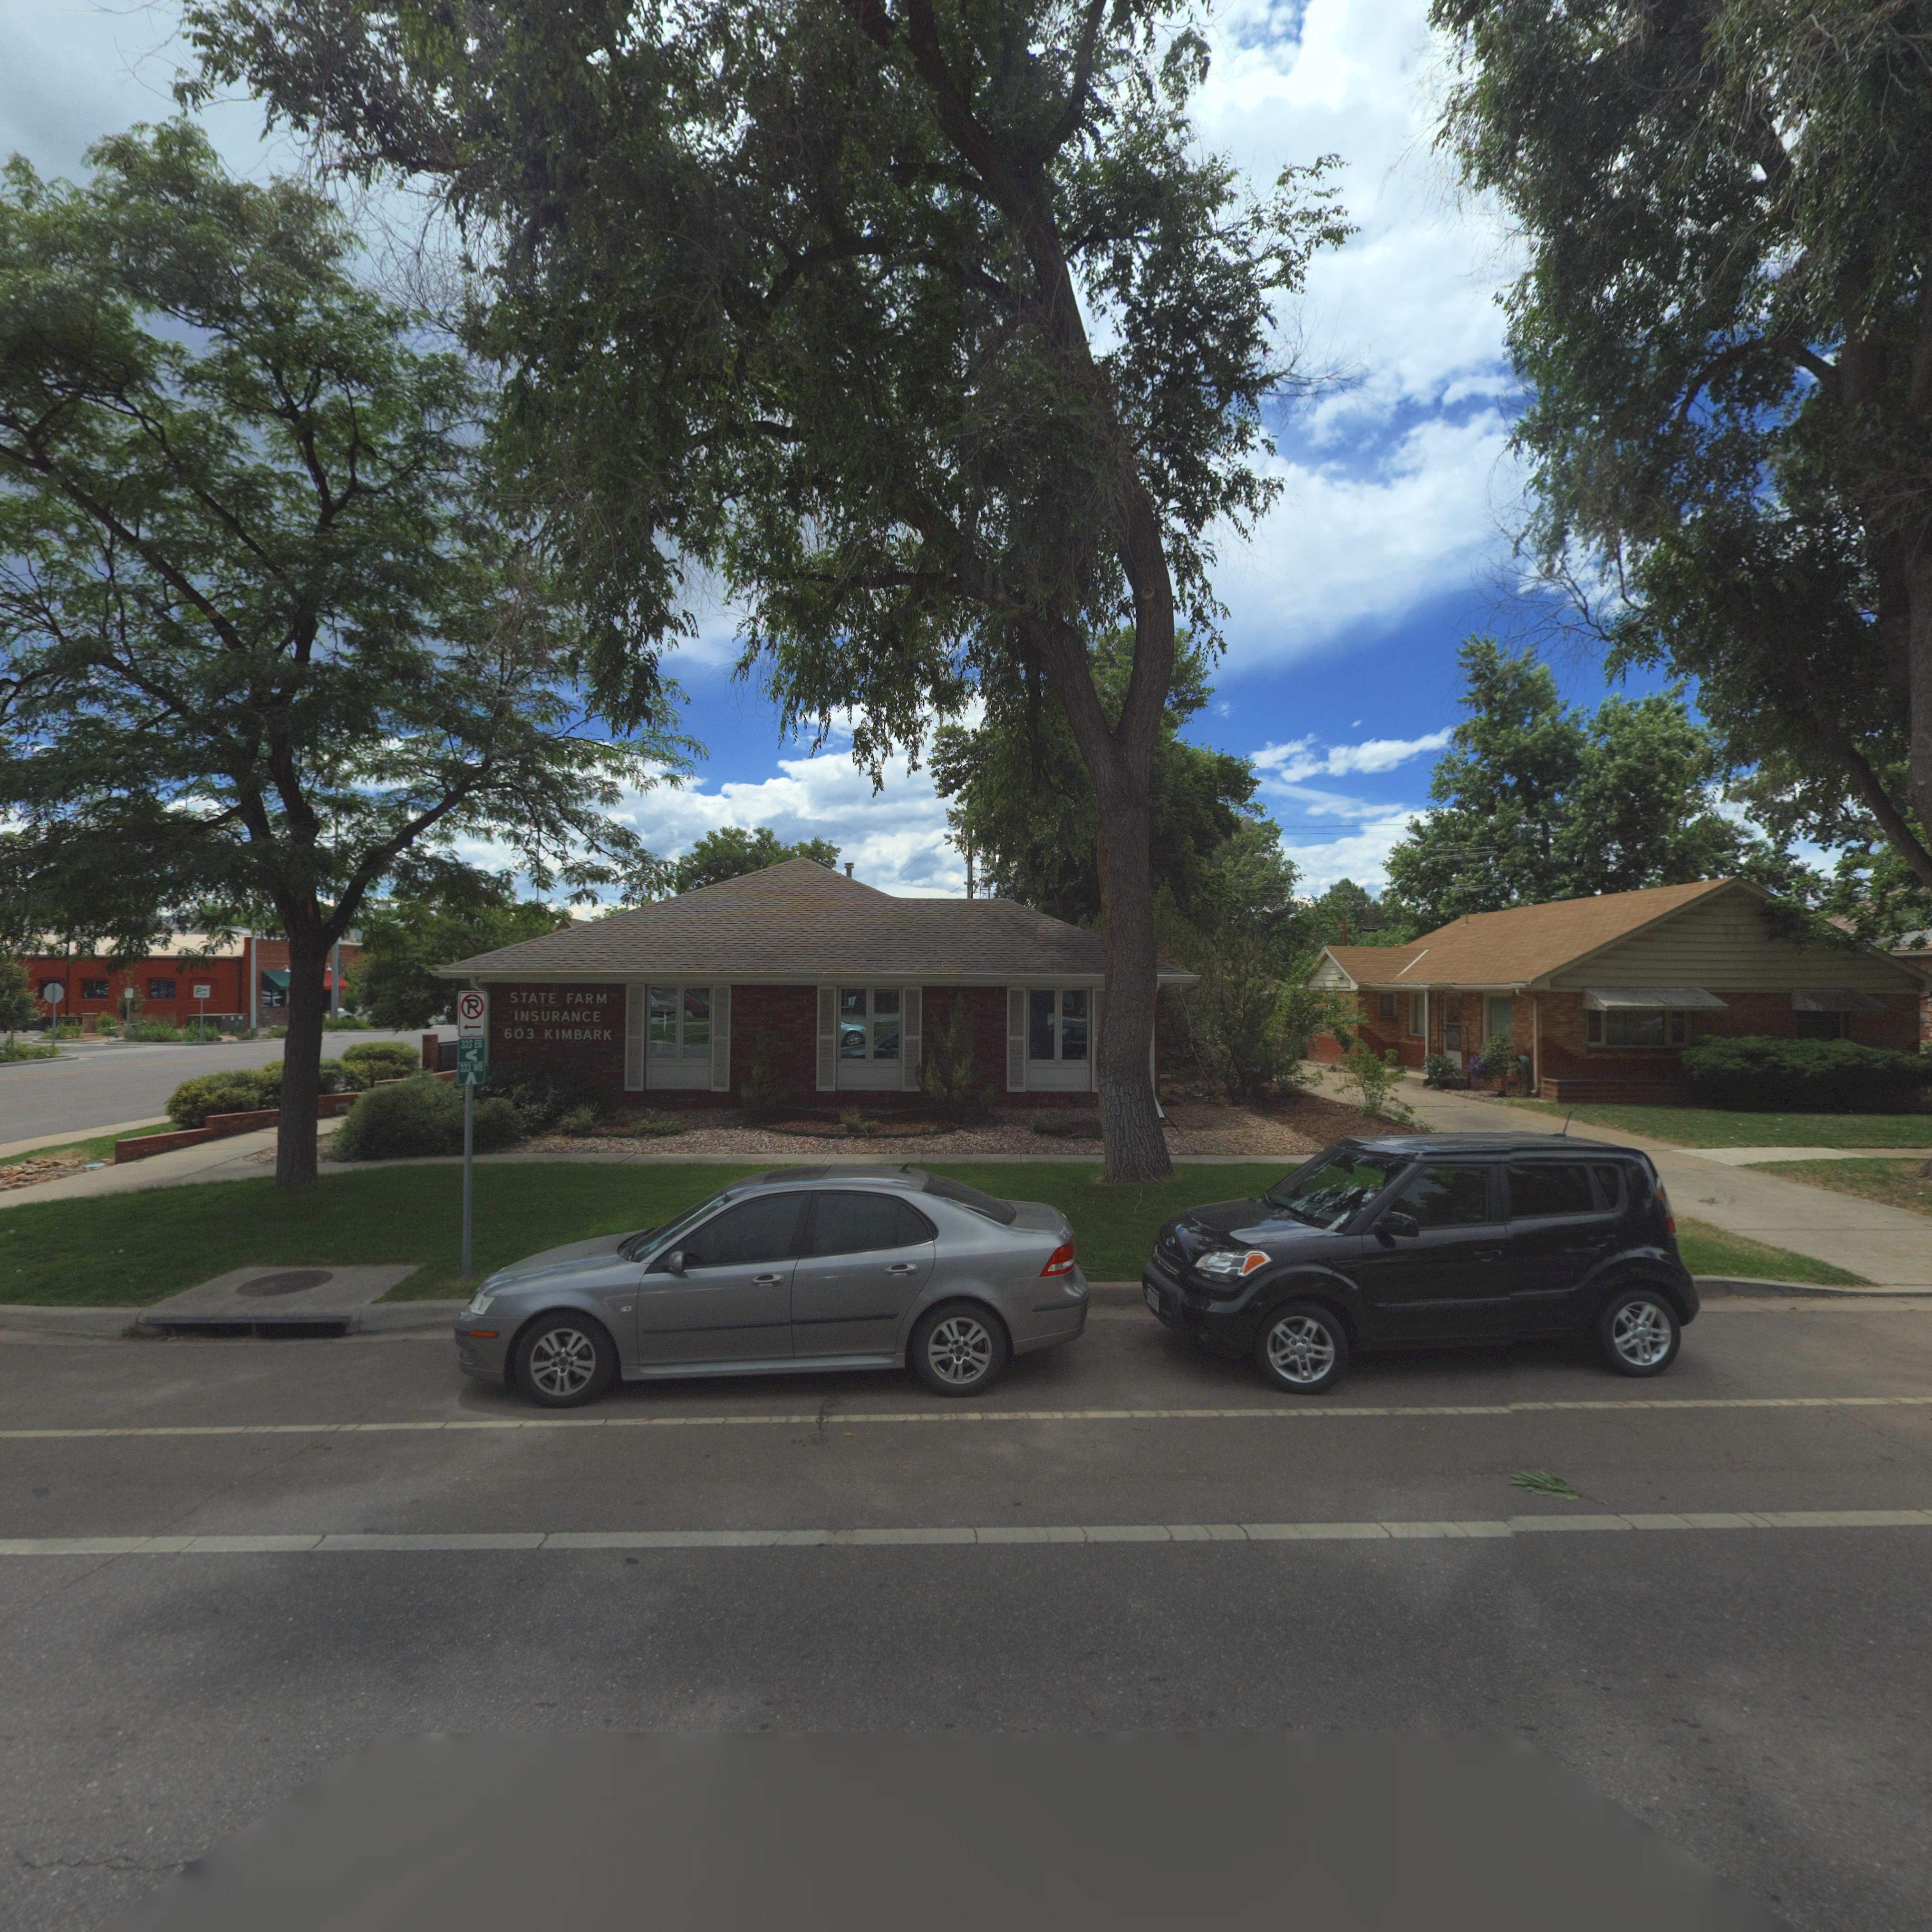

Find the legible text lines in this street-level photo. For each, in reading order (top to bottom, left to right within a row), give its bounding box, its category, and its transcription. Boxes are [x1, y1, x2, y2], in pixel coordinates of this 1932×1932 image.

[509, 991, 608, 1005] BusinessName: STATE FARM
[514, 1010, 601, 1023] BusinessName: INSURANCE
[503, 1027, 535, 1040] StreetNumber: 603
[544, 1028, 612, 1041] StreetName: KIMBARK